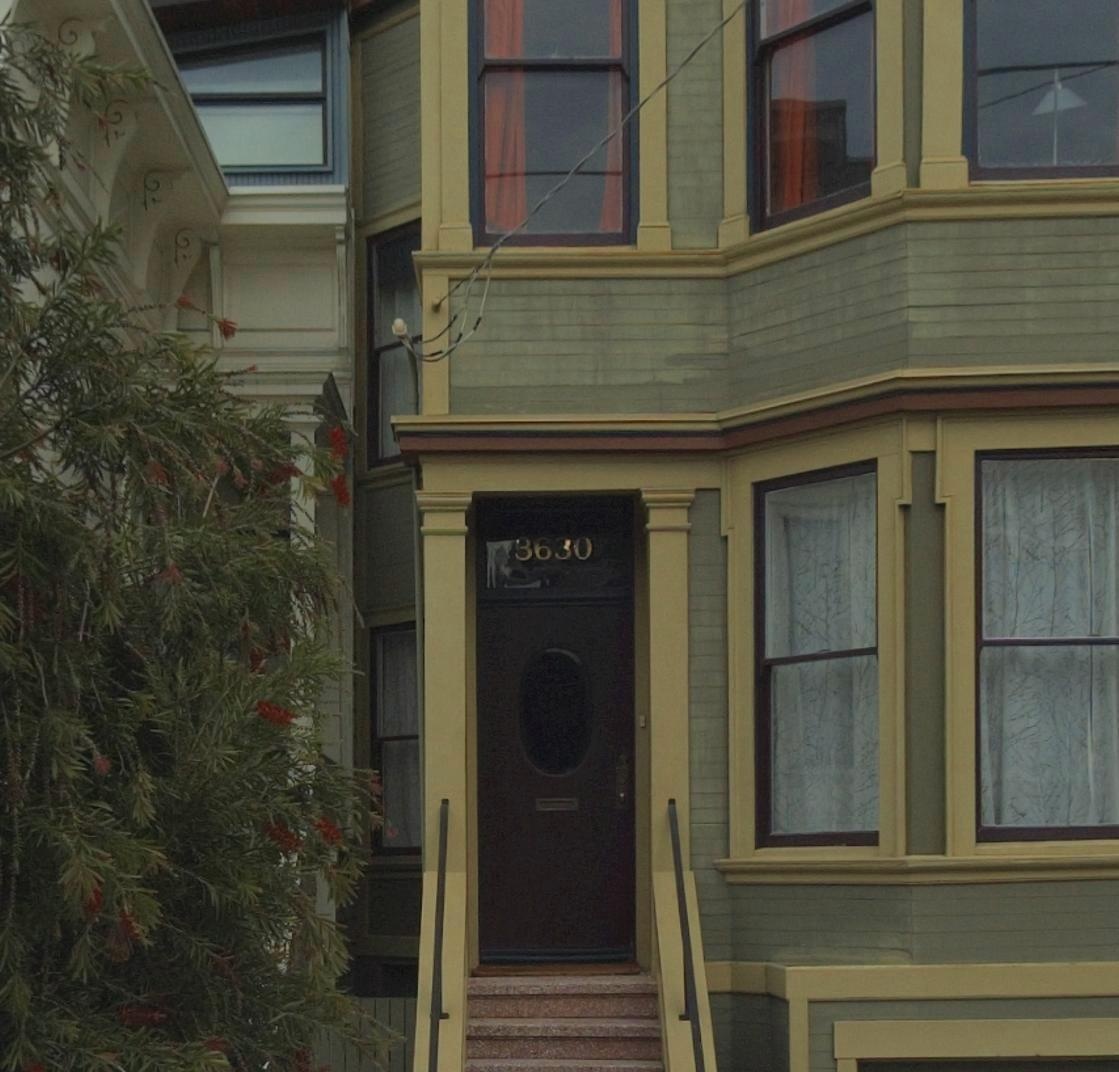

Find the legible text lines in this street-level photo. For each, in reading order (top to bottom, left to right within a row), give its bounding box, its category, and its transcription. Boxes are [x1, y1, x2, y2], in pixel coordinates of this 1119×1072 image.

[514, 535, 594, 562] StreetNumber: 3630